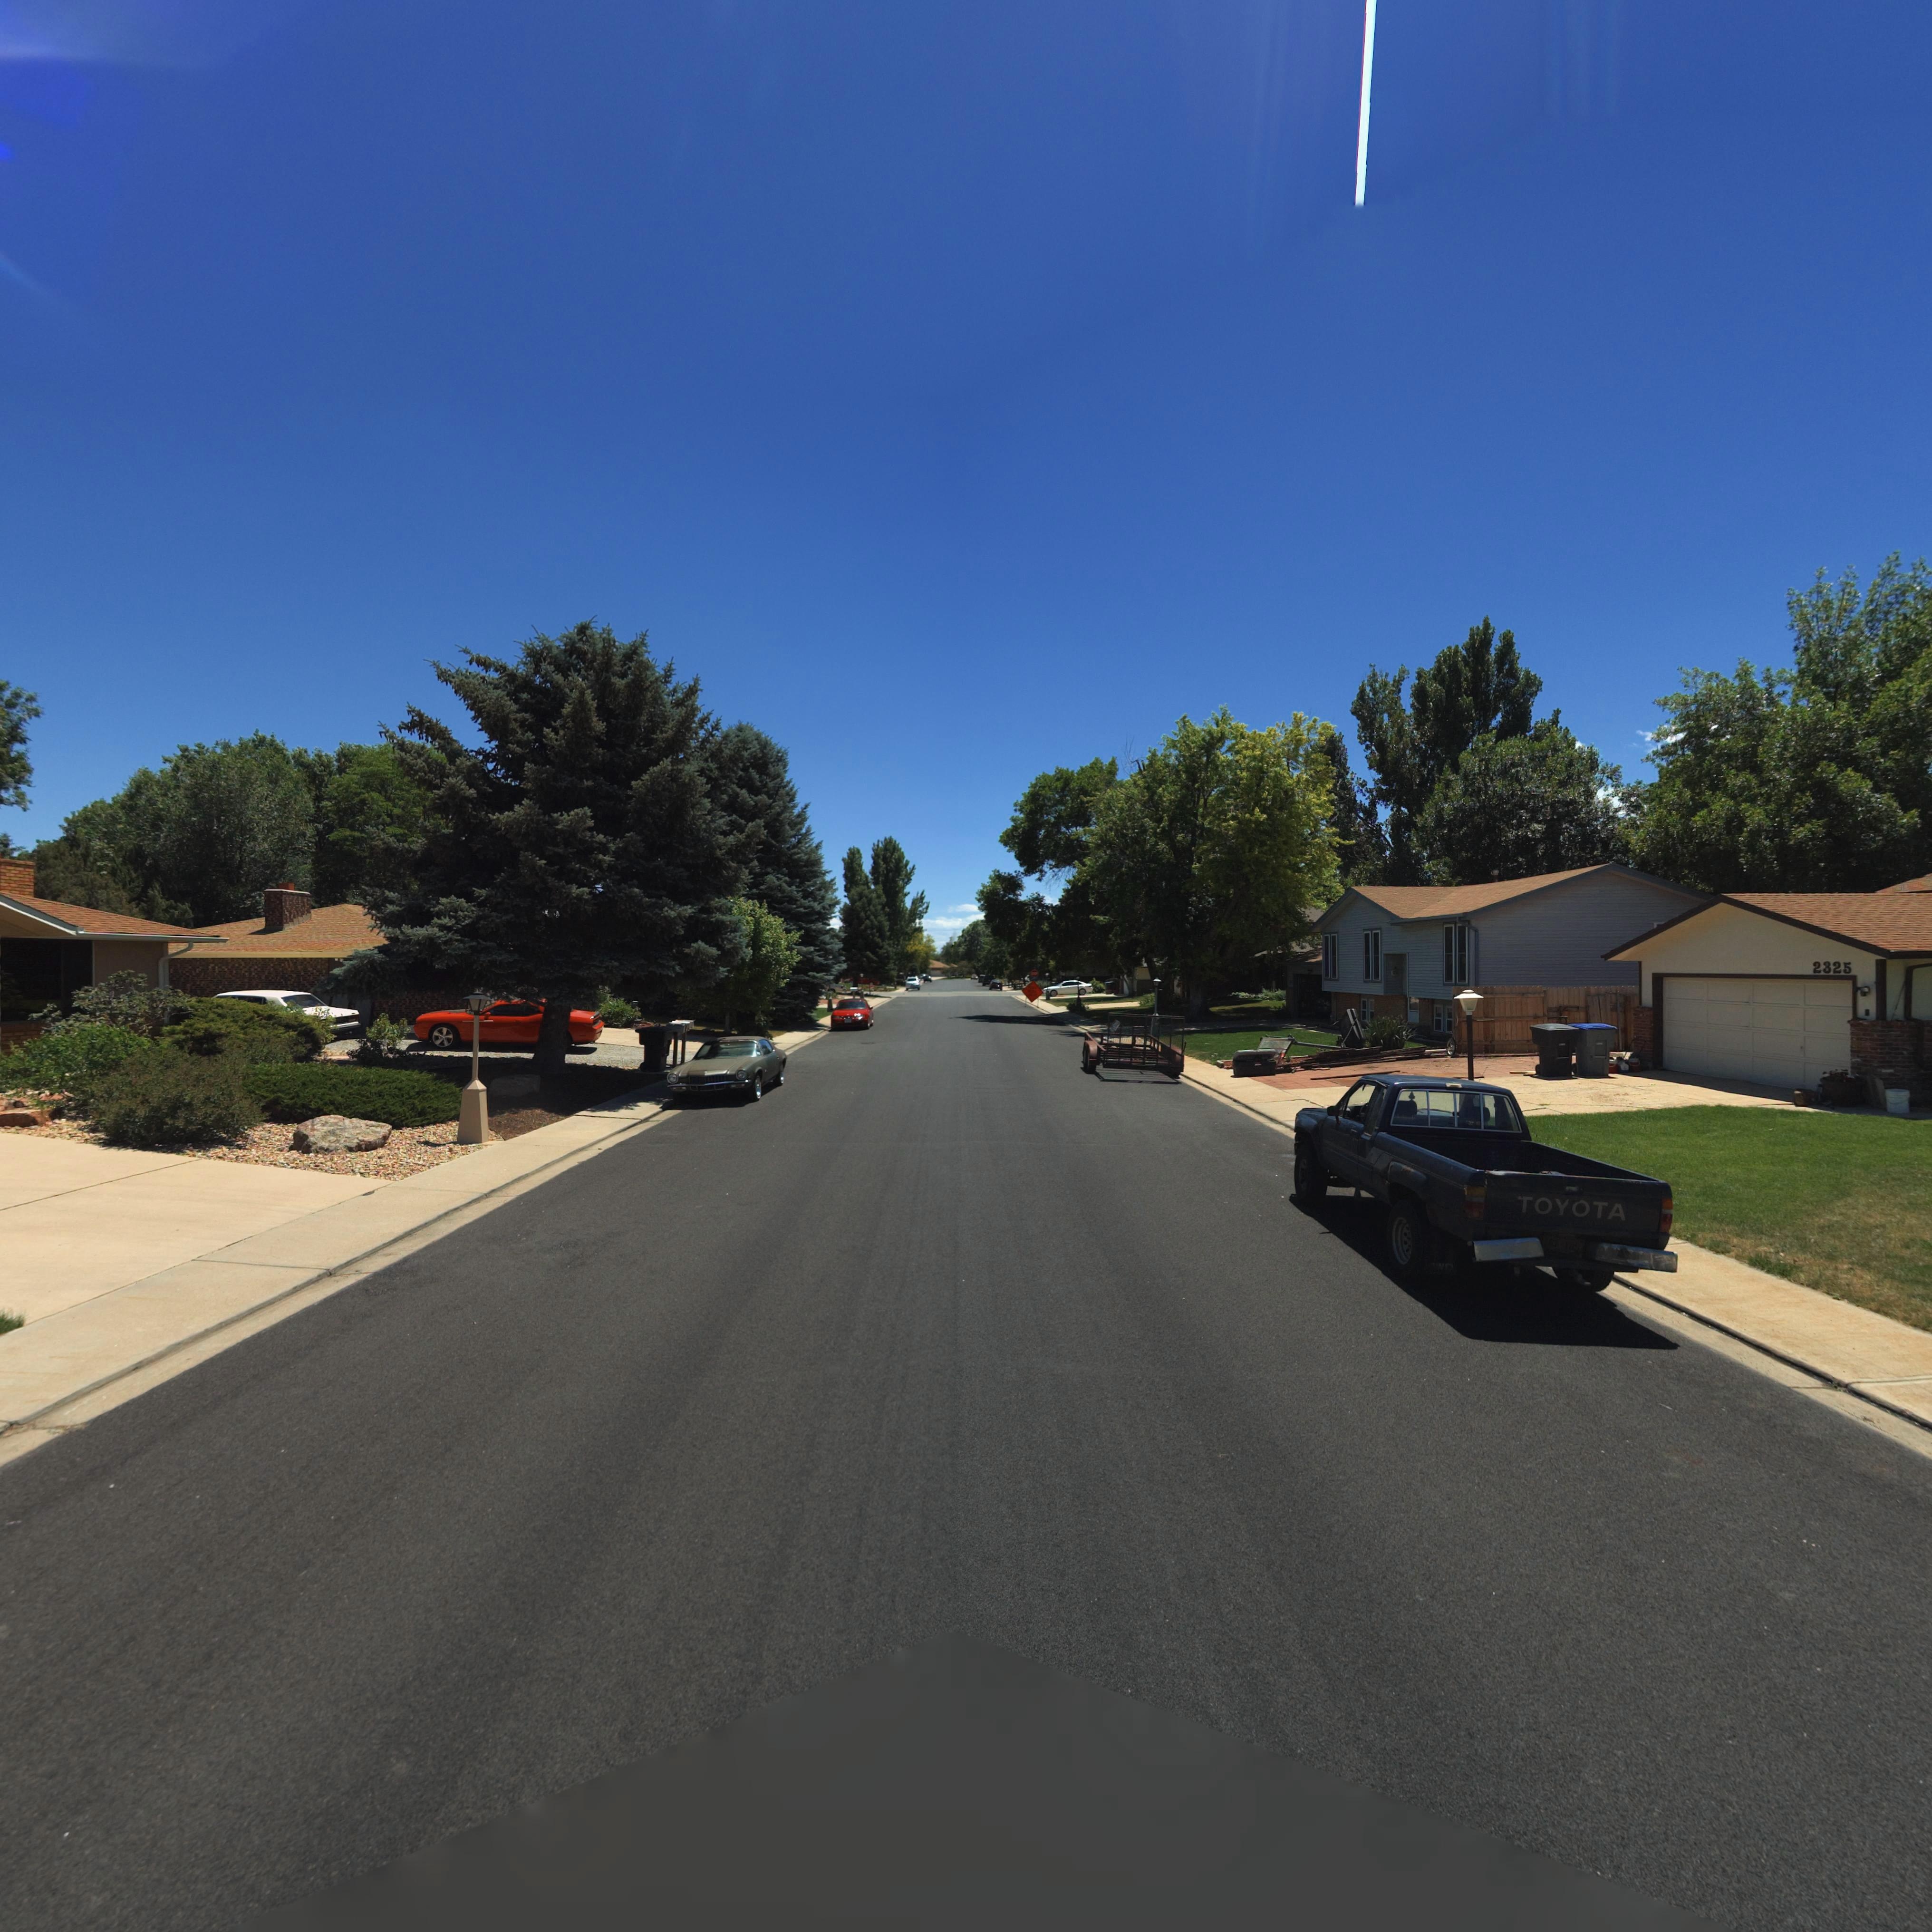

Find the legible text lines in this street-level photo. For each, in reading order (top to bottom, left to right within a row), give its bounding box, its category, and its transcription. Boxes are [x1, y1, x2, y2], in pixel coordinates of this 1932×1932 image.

[1812, 960, 1853, 974] StreetNumber: 2325